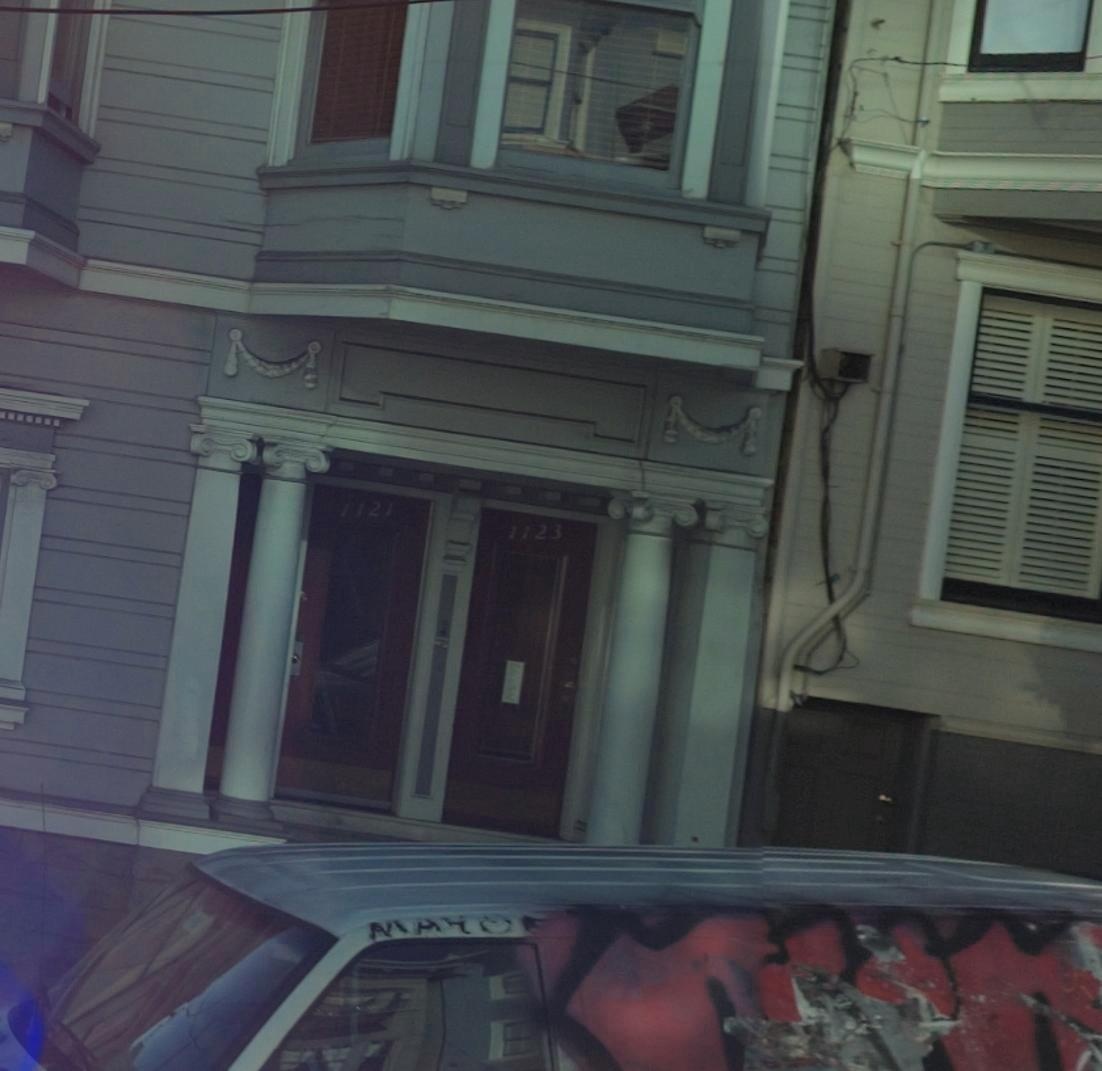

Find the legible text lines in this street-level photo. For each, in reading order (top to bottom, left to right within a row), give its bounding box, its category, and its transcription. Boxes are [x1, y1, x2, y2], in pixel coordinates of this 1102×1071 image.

[339, 500, 395, 518] StreetNumber: 1121
[507, 523, 563, 541] StreetNumber: 1123